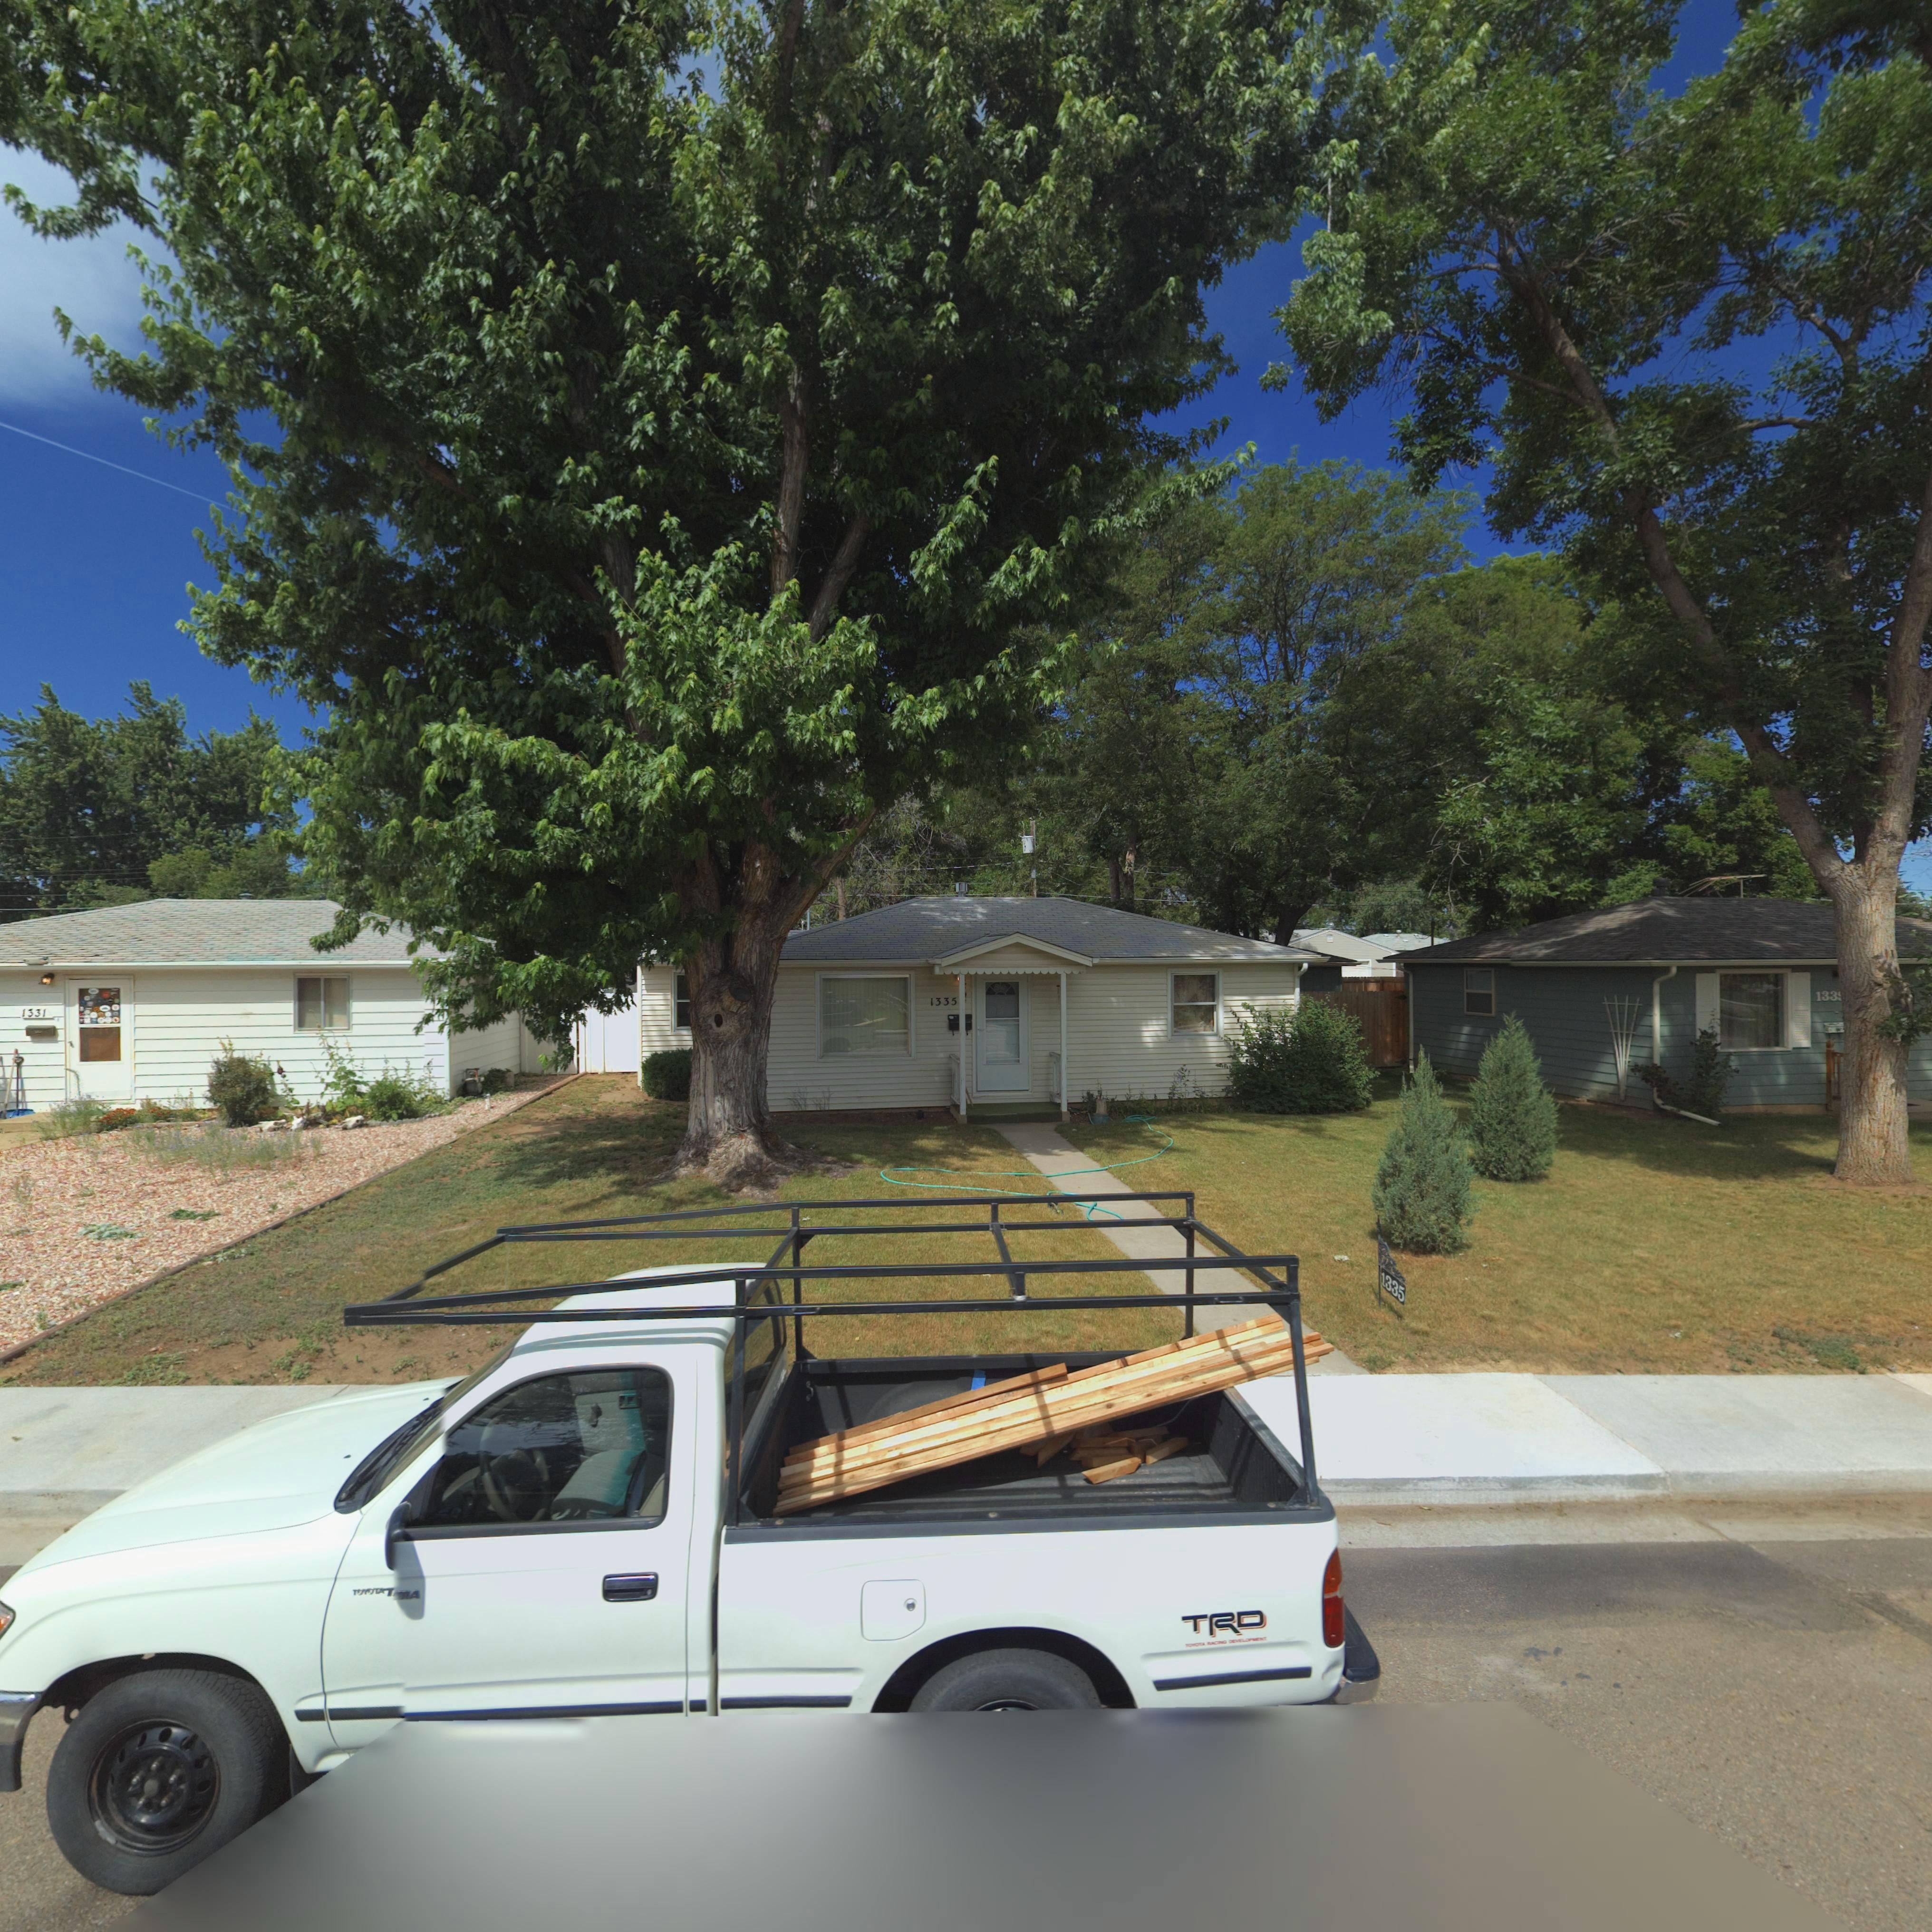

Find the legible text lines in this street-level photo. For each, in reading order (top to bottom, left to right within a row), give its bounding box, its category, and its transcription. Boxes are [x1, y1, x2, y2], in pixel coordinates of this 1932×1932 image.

[930, 997, 957, 1006] StreetNumber: 1335
[21, 1008, 46, 1017] StreetNumber: 1331
[1381, 1271, 1405, 1303] StreetNumber: 1335